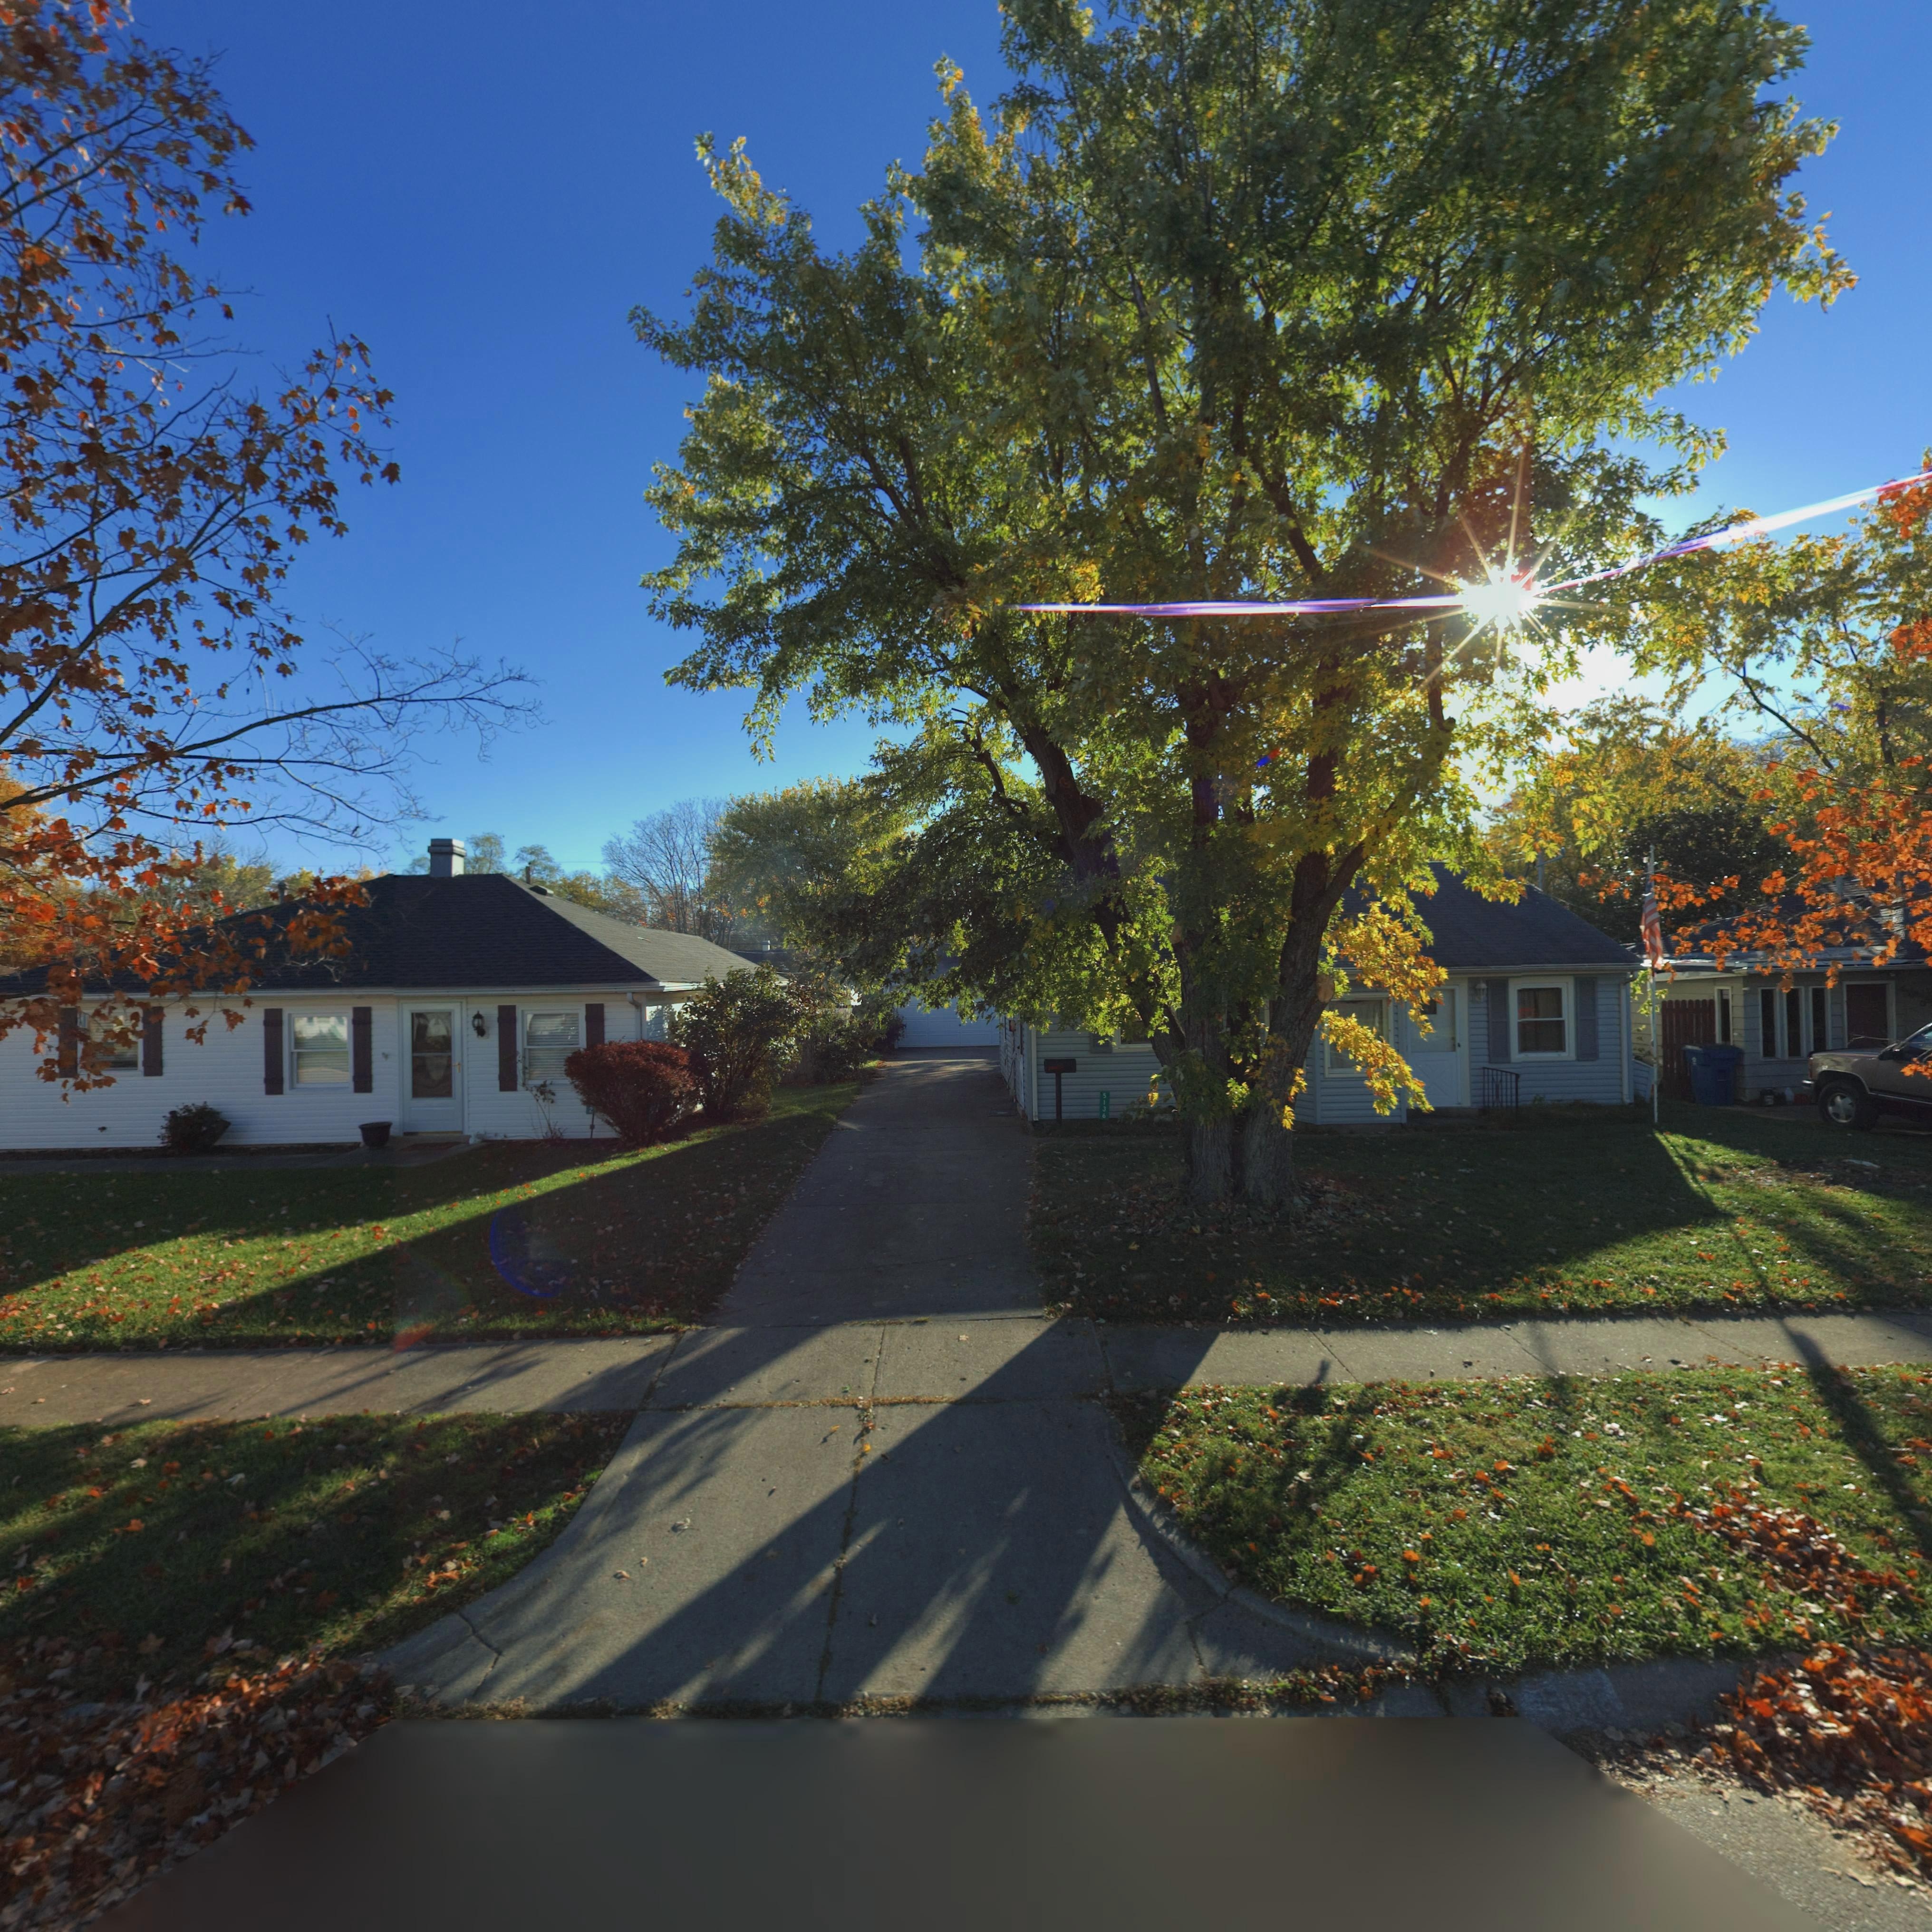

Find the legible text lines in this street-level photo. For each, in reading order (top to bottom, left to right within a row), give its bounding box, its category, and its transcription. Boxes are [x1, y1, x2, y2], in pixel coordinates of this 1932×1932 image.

[1101, 1092, 1107, 1119] StreetNumber: 5136
[1538, 1687, 1617, 1725] StreetNumber: 5136